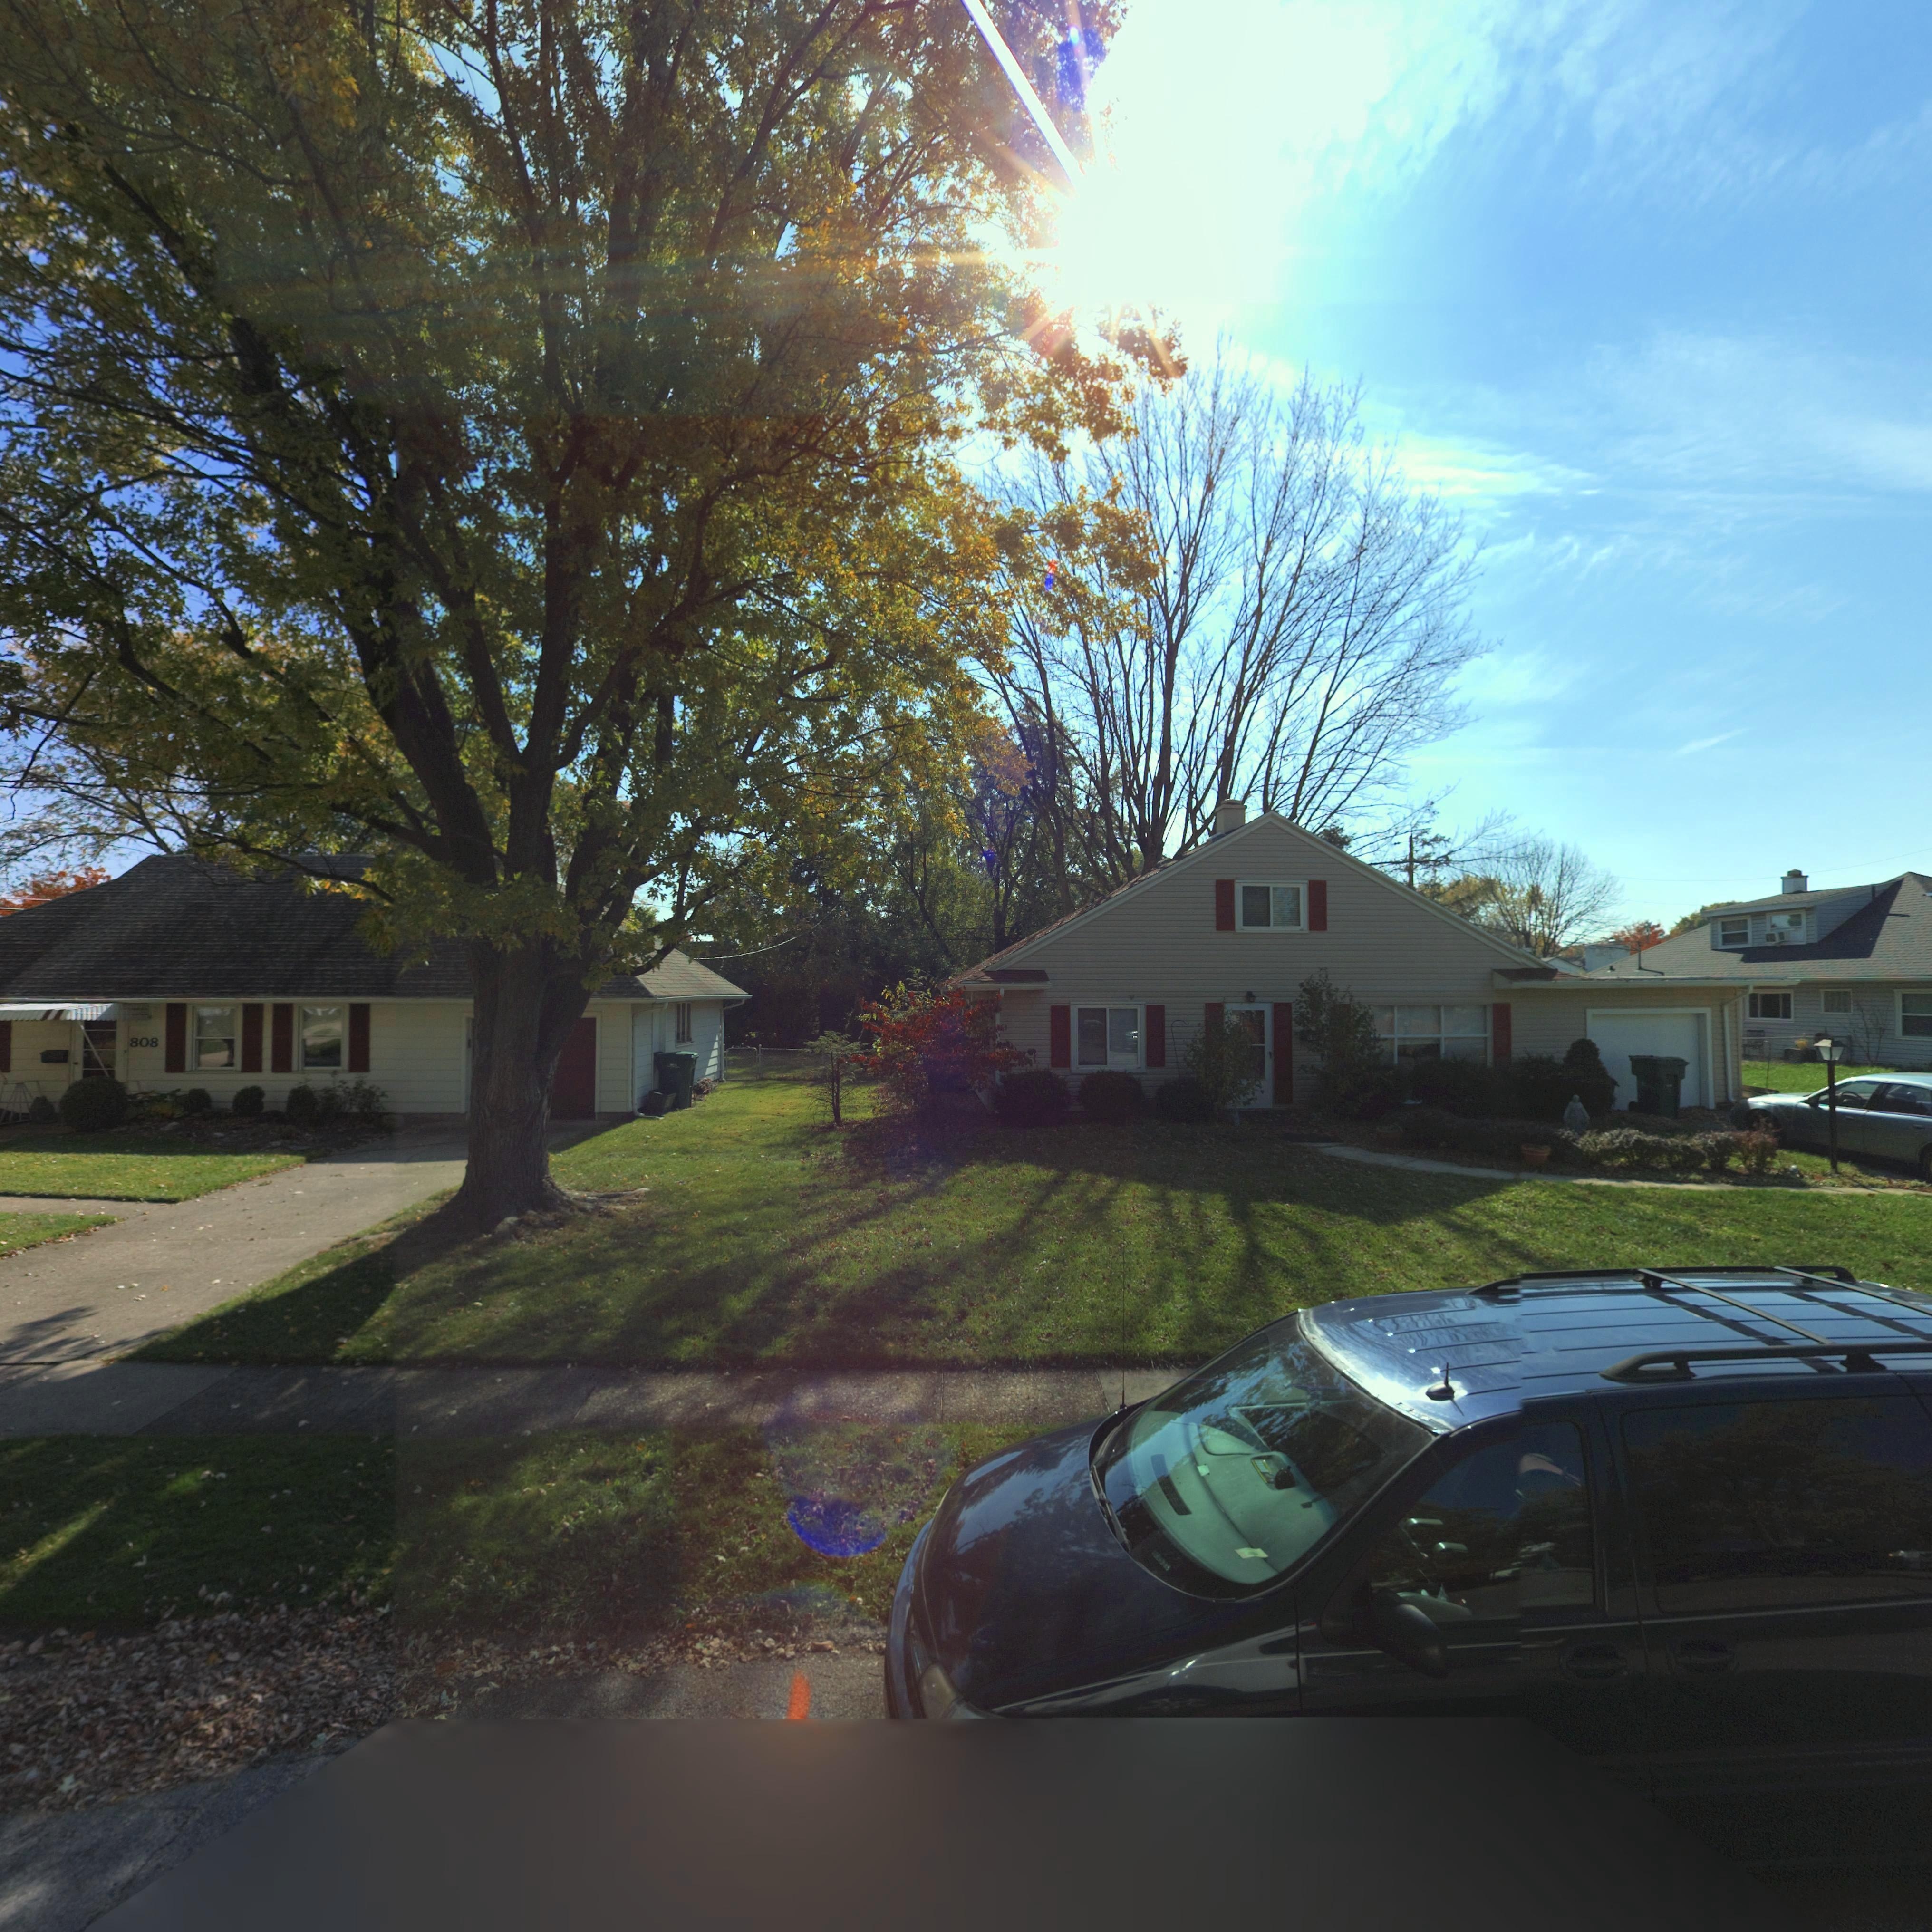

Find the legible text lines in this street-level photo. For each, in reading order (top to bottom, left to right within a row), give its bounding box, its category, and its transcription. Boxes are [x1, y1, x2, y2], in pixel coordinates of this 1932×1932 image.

[129, 1036, 159, 1048] StreetNumber: 808